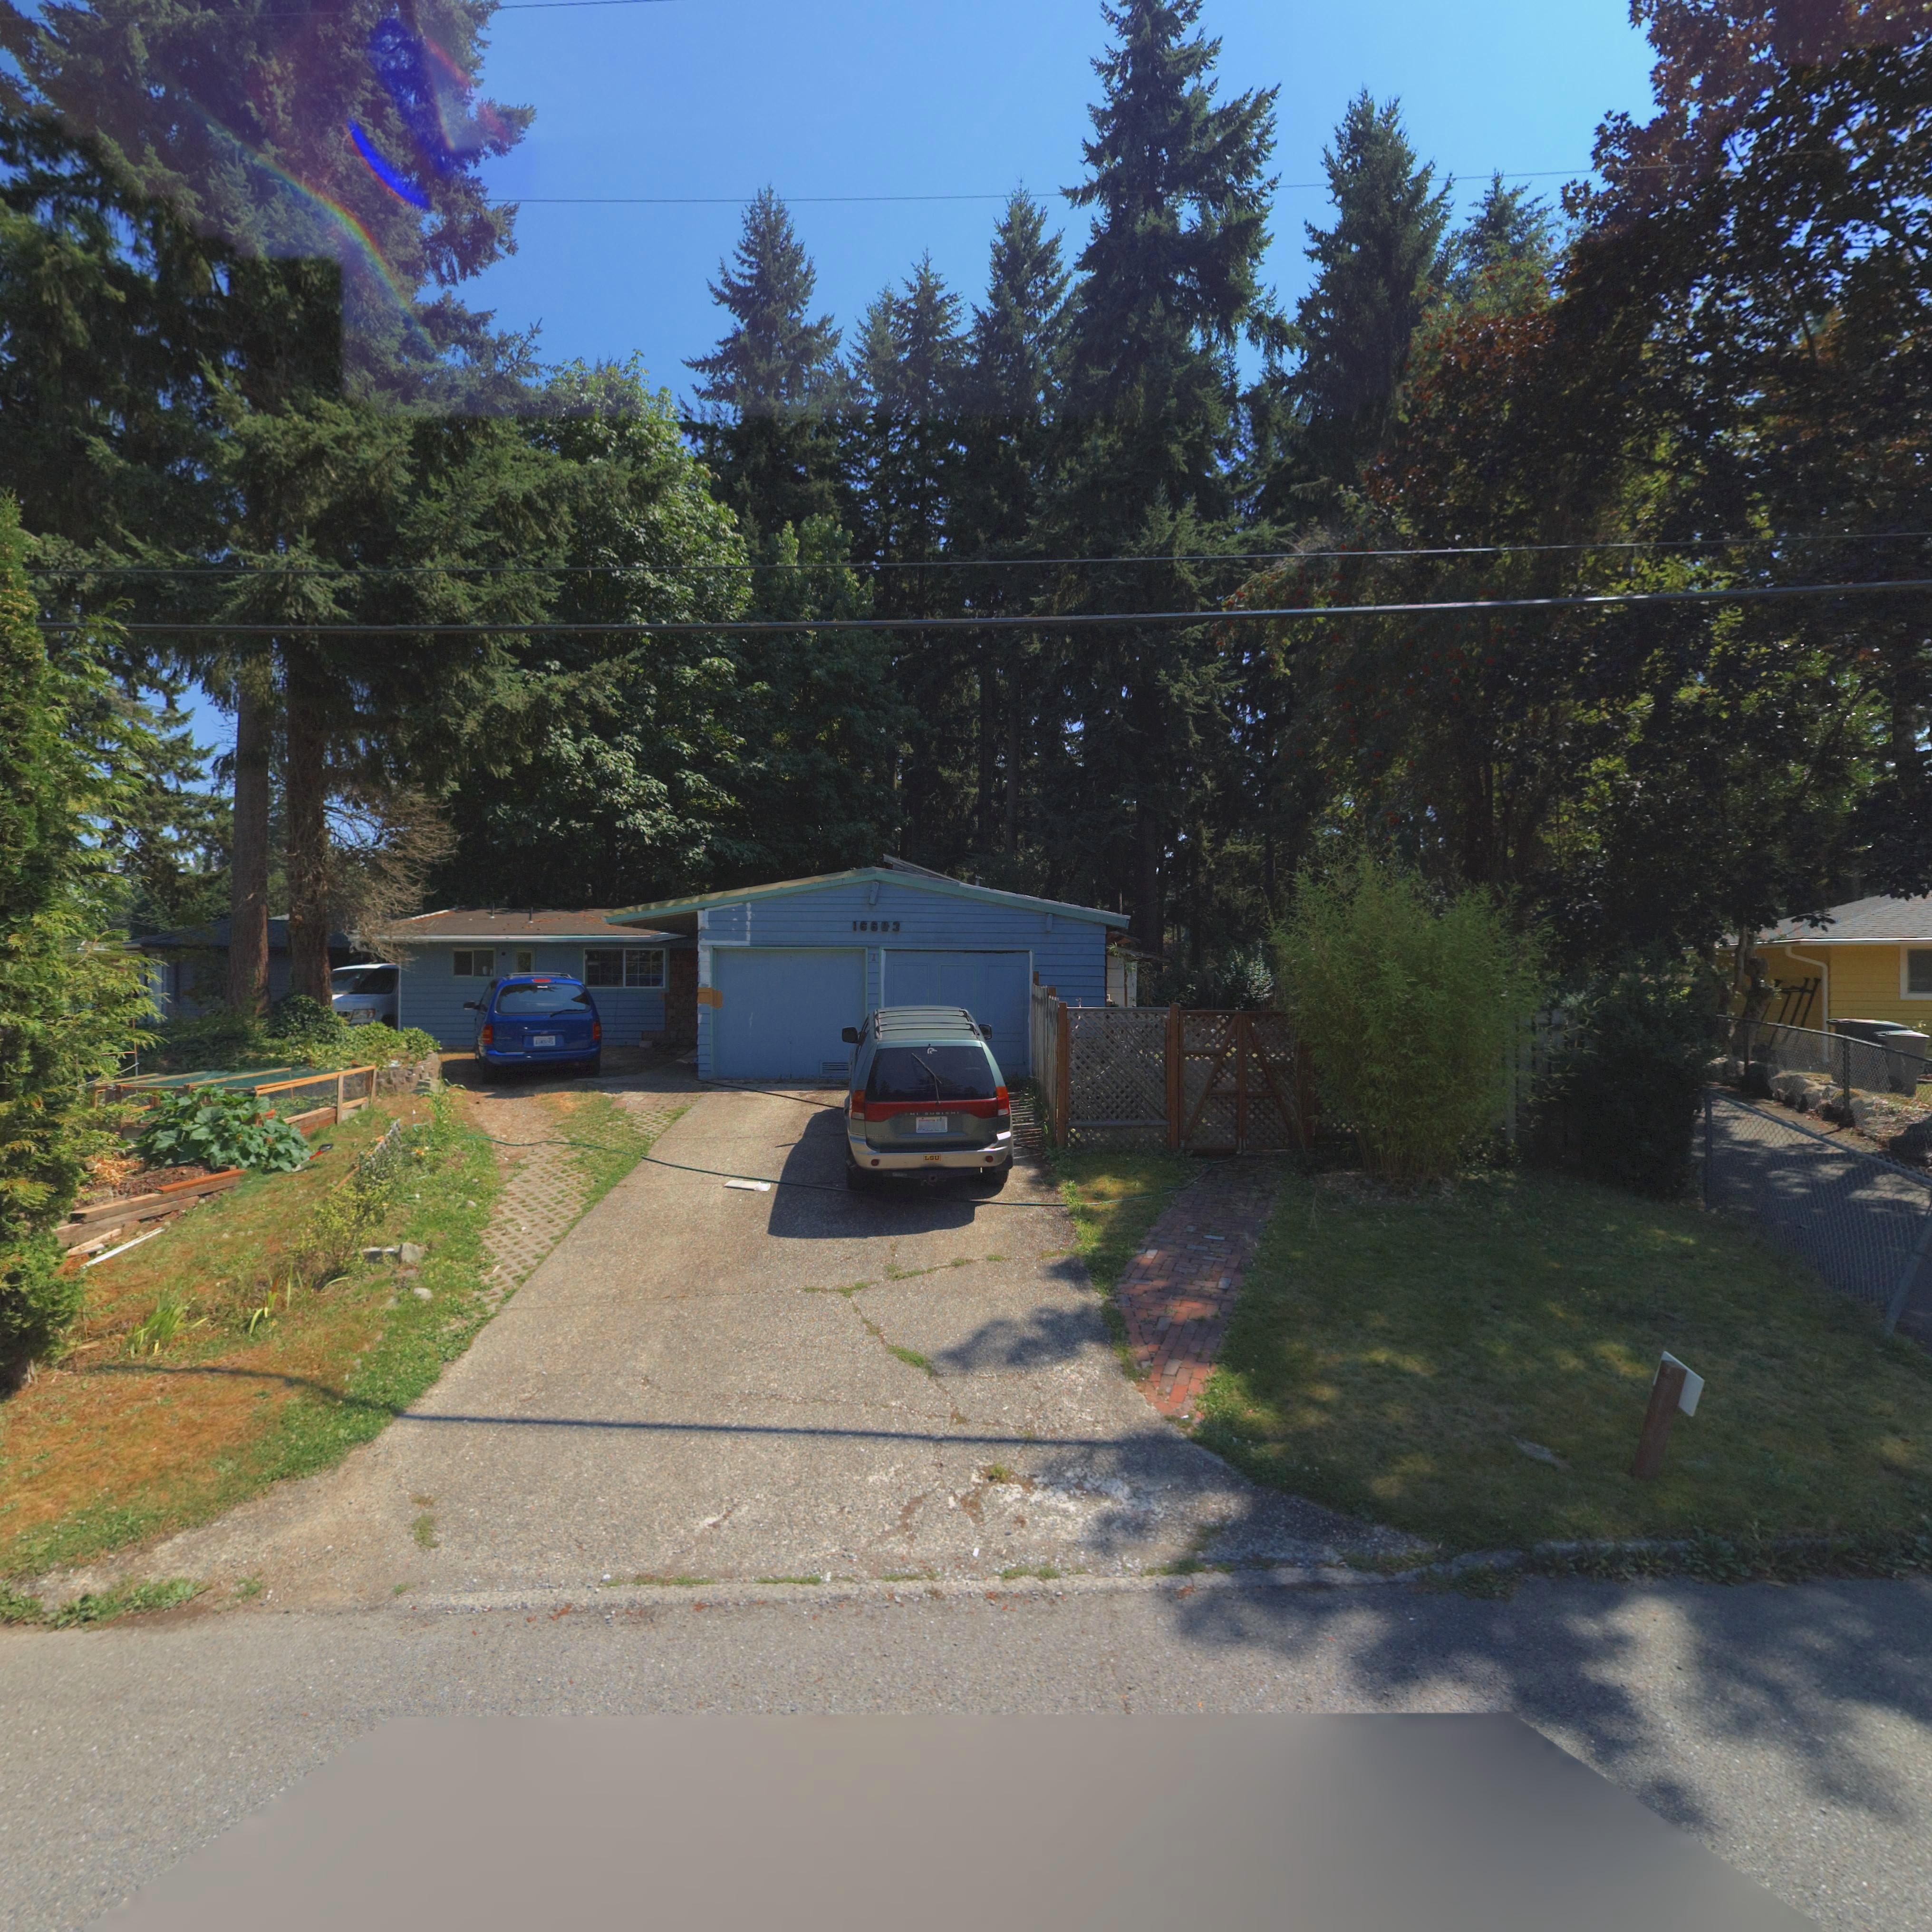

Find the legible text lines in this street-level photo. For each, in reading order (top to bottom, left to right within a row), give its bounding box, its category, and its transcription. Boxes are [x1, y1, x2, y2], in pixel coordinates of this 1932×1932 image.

[852, 920, 899, 932] StreetNumber: 16603